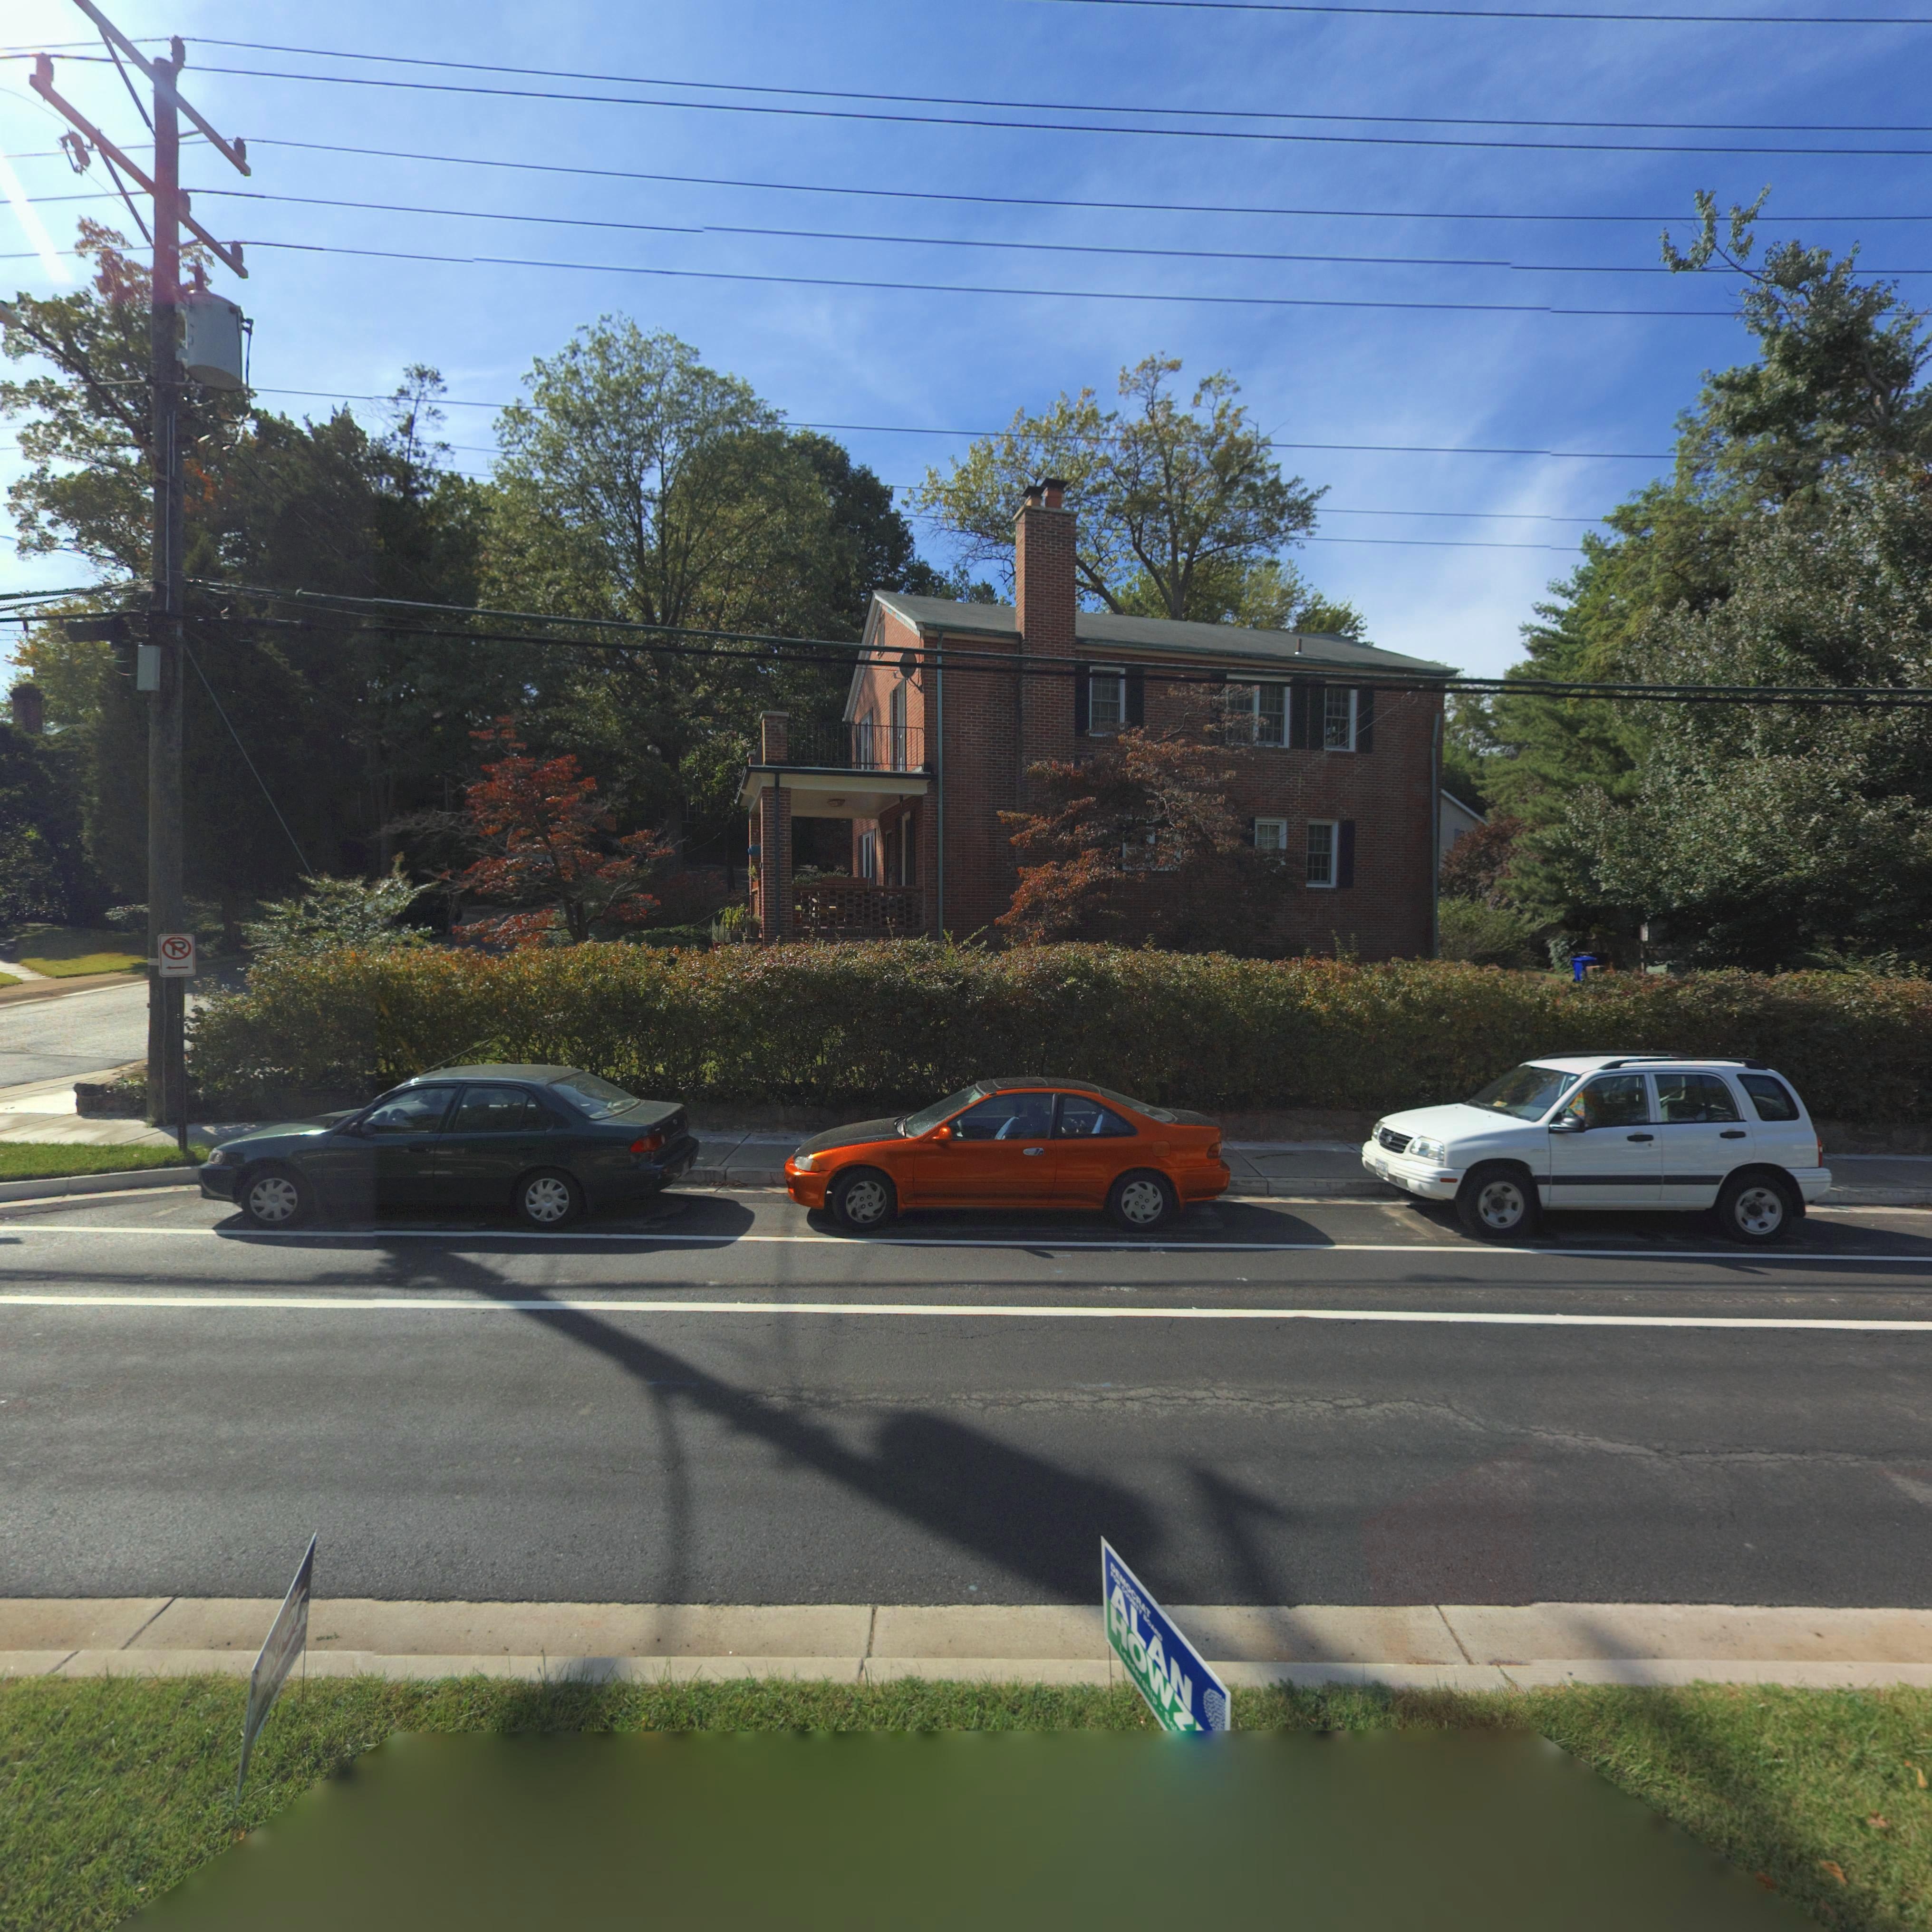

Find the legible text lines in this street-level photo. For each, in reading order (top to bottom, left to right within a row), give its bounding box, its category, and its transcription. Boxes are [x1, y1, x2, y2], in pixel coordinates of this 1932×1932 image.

[1109, 1558, 1152, 1620] None: DEMOCRAT
[1109, 1600, 1175, 1712] None: HOW
[1108, 1581, 1195, 1715] None: ALAN